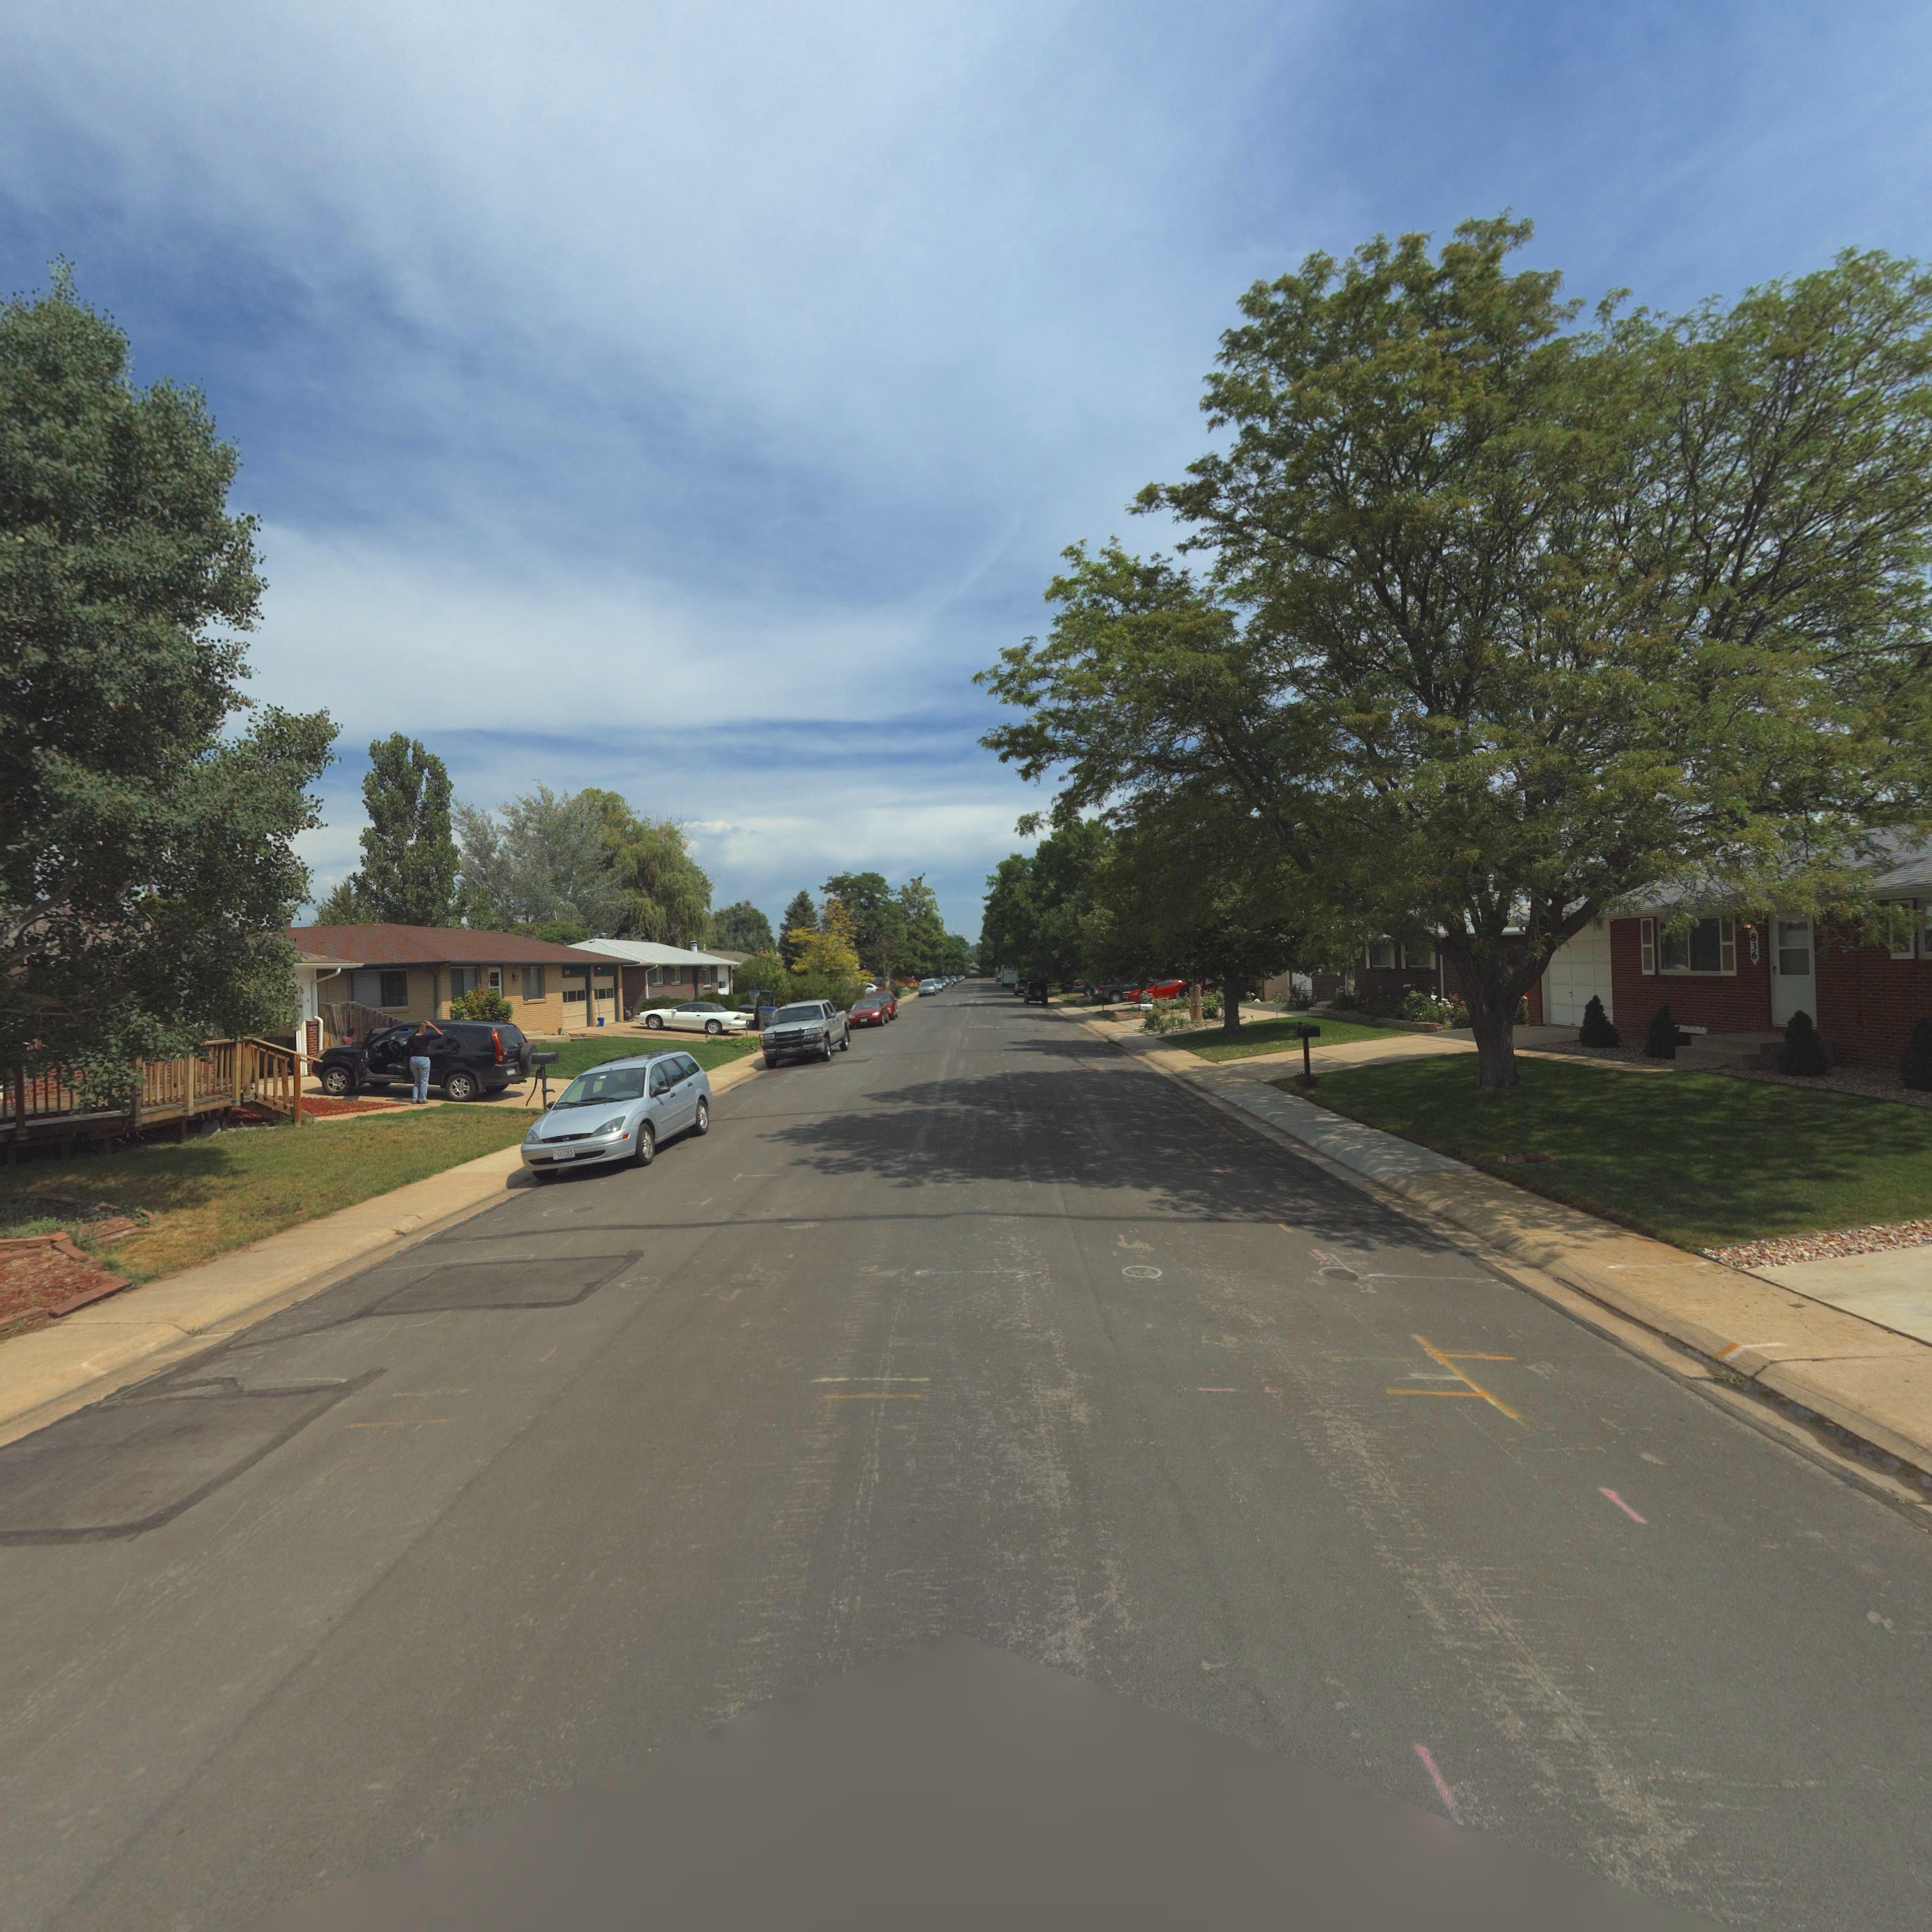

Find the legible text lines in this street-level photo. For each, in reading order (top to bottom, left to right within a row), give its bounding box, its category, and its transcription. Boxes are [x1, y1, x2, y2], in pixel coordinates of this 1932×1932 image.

[1750, 932, 1758, 960] StreetNumber: 836